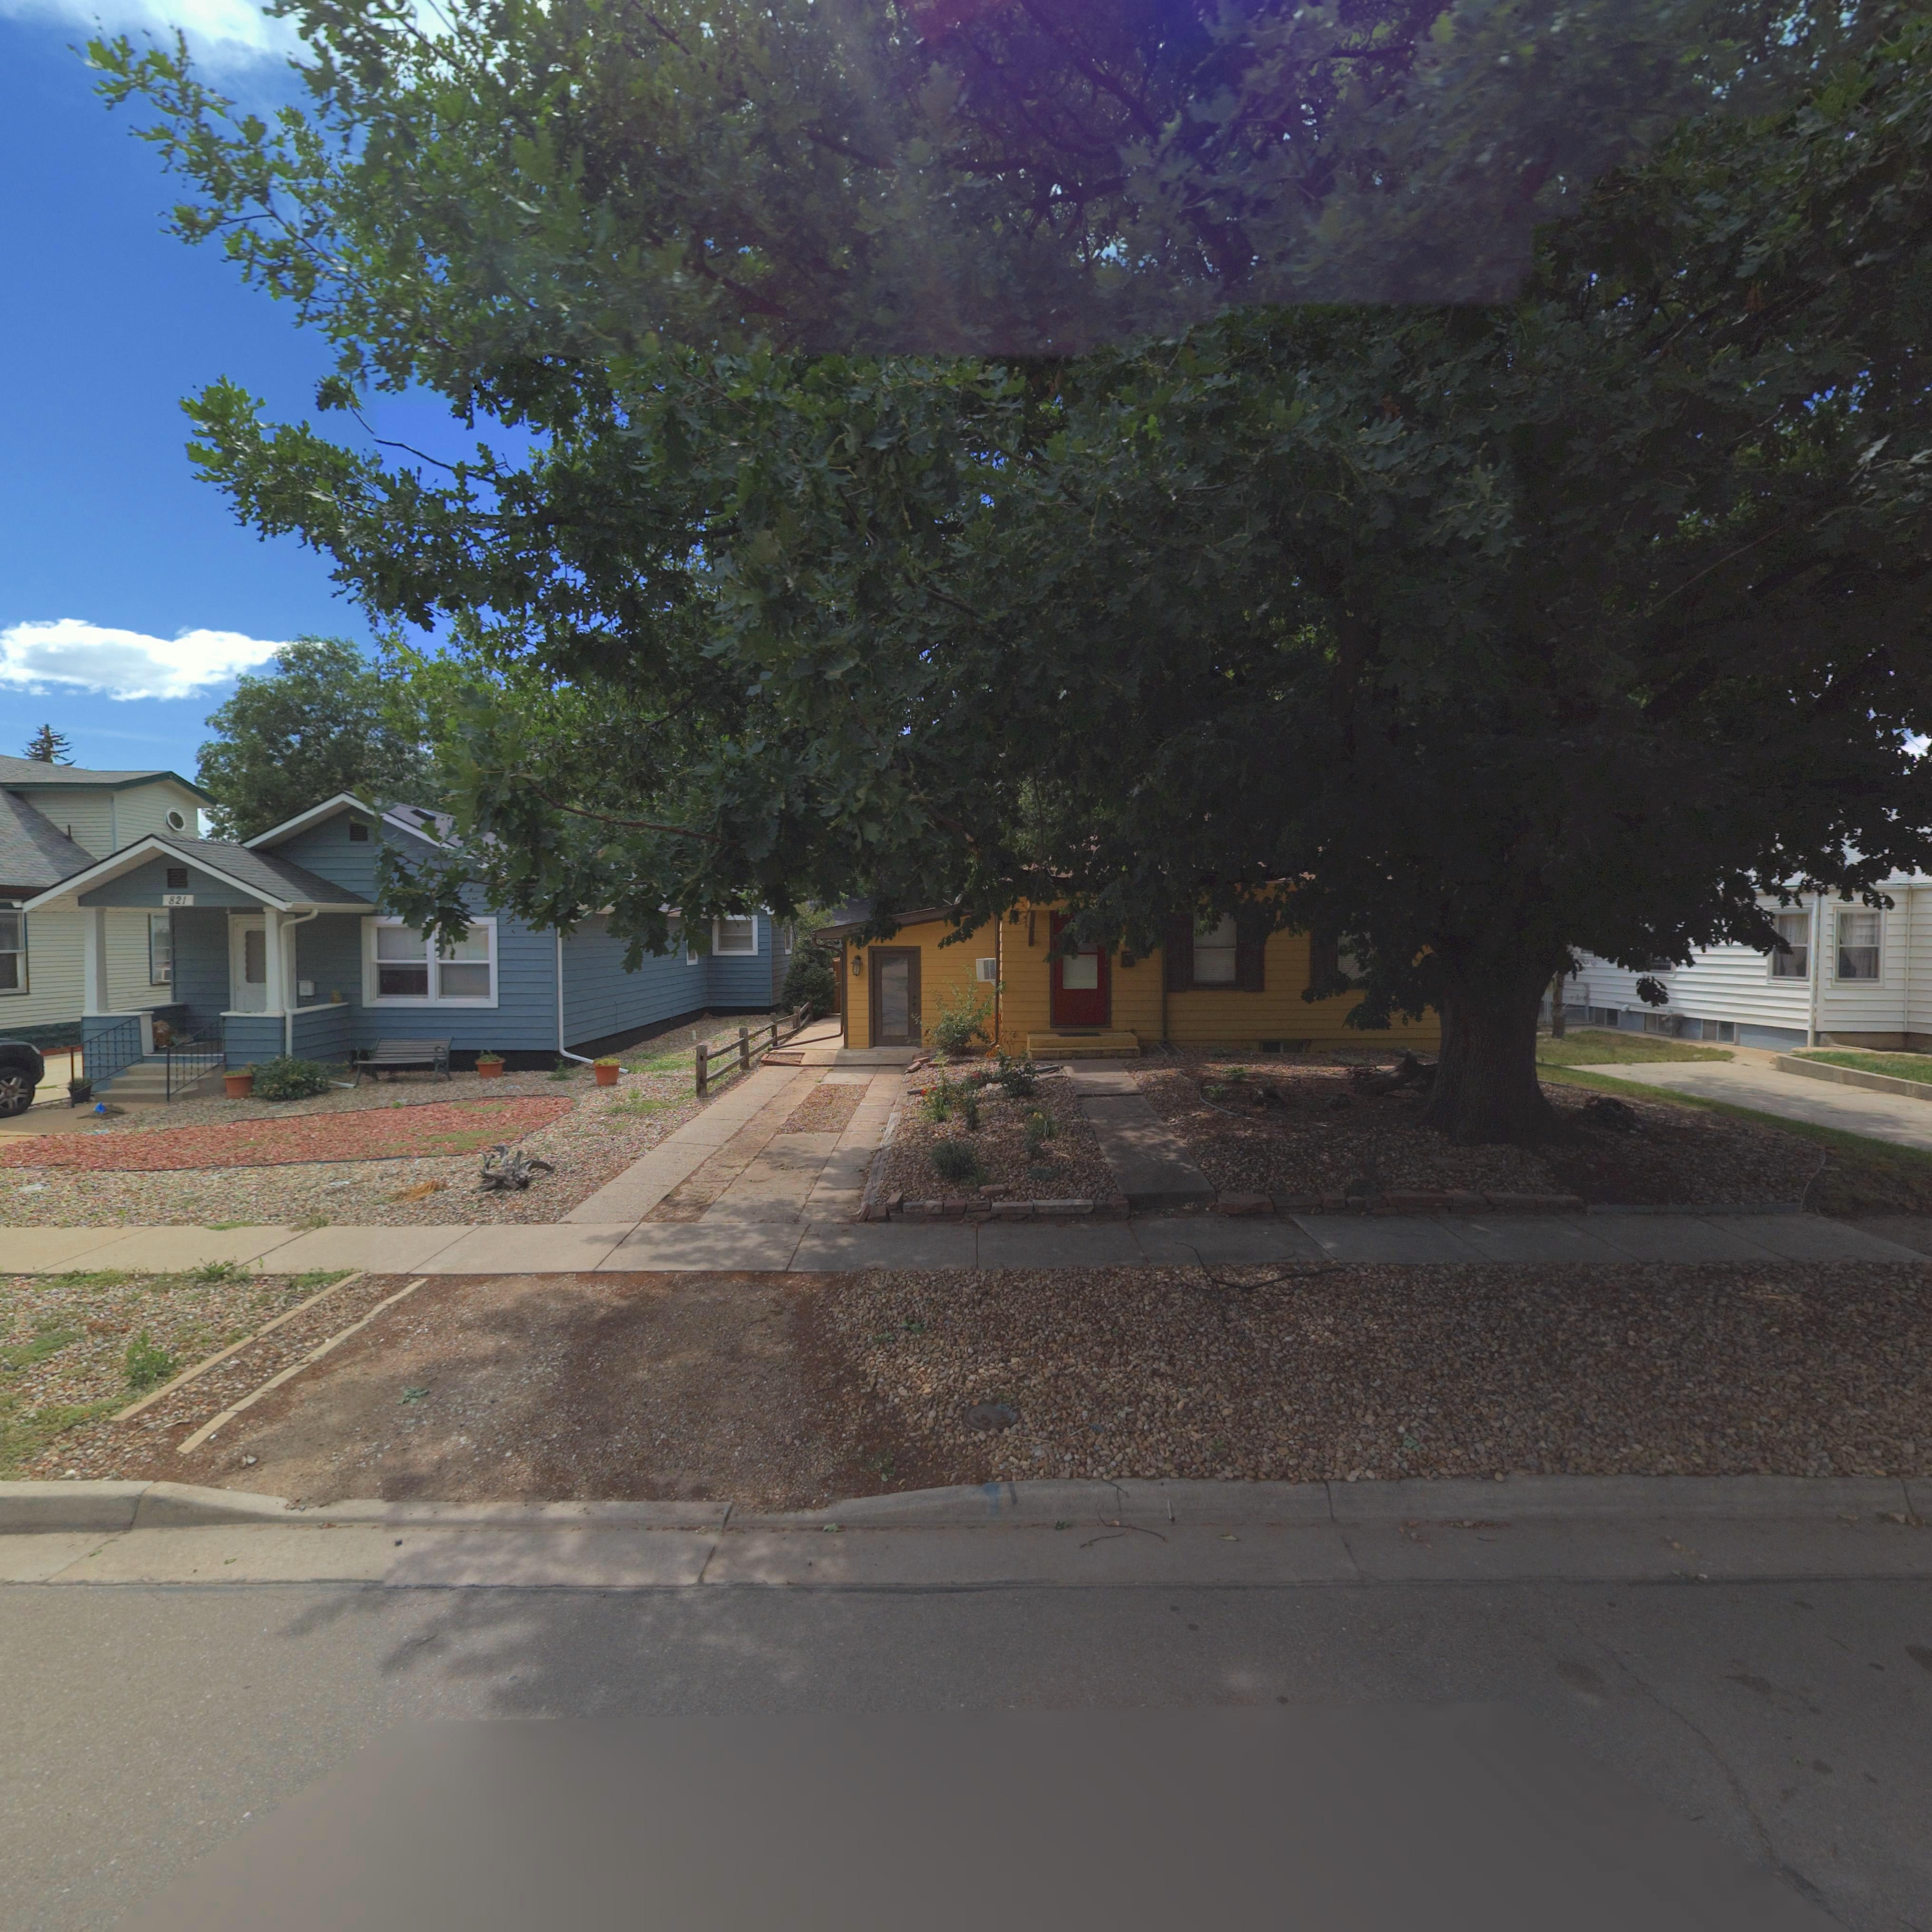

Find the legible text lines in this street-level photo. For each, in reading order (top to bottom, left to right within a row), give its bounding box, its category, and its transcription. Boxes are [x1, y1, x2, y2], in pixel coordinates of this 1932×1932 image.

[168, 896, 186, 905] StreetNumber: 821